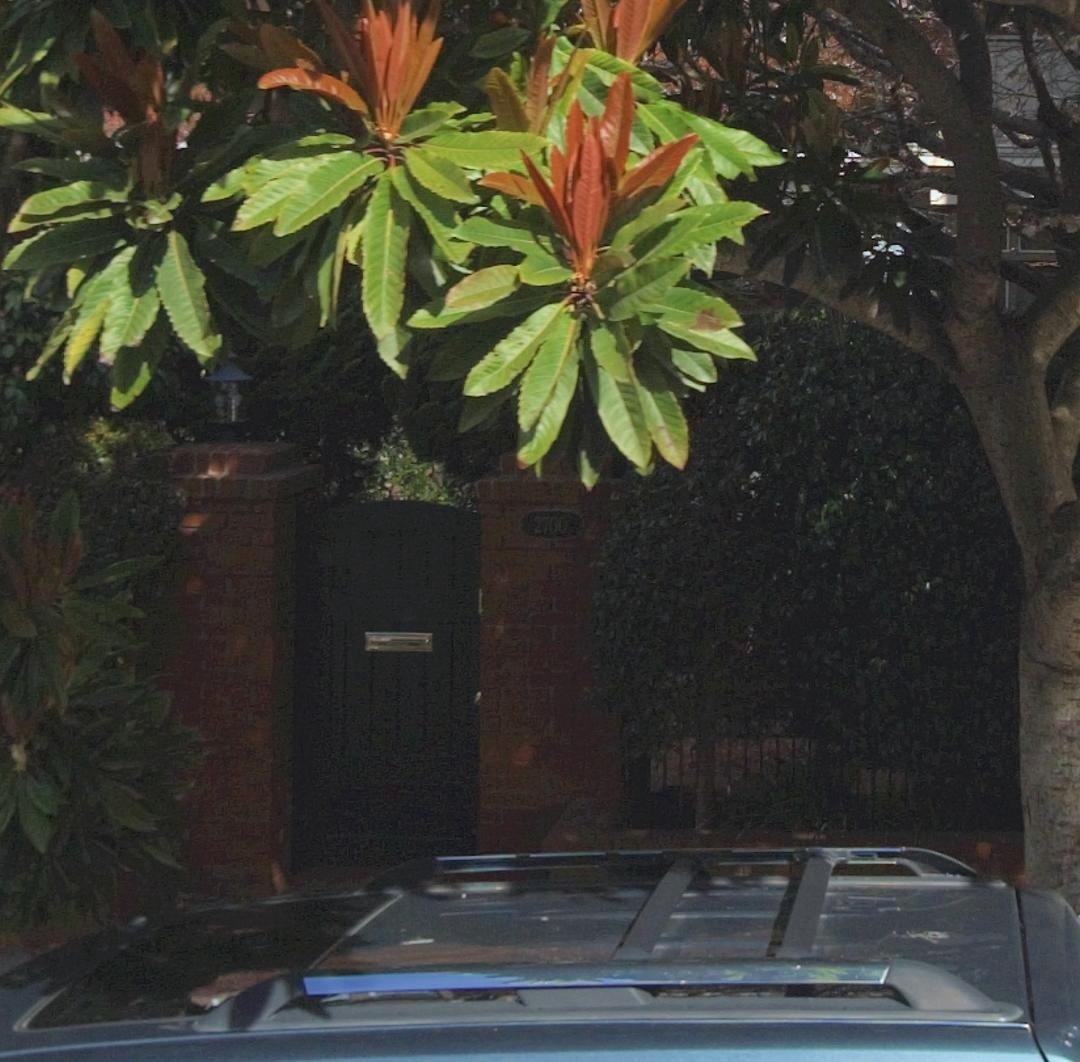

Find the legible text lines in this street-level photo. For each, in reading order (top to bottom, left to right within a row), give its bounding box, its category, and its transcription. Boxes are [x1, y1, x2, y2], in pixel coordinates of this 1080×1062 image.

[532, 513, 569, 537] StreetNumber: 2700